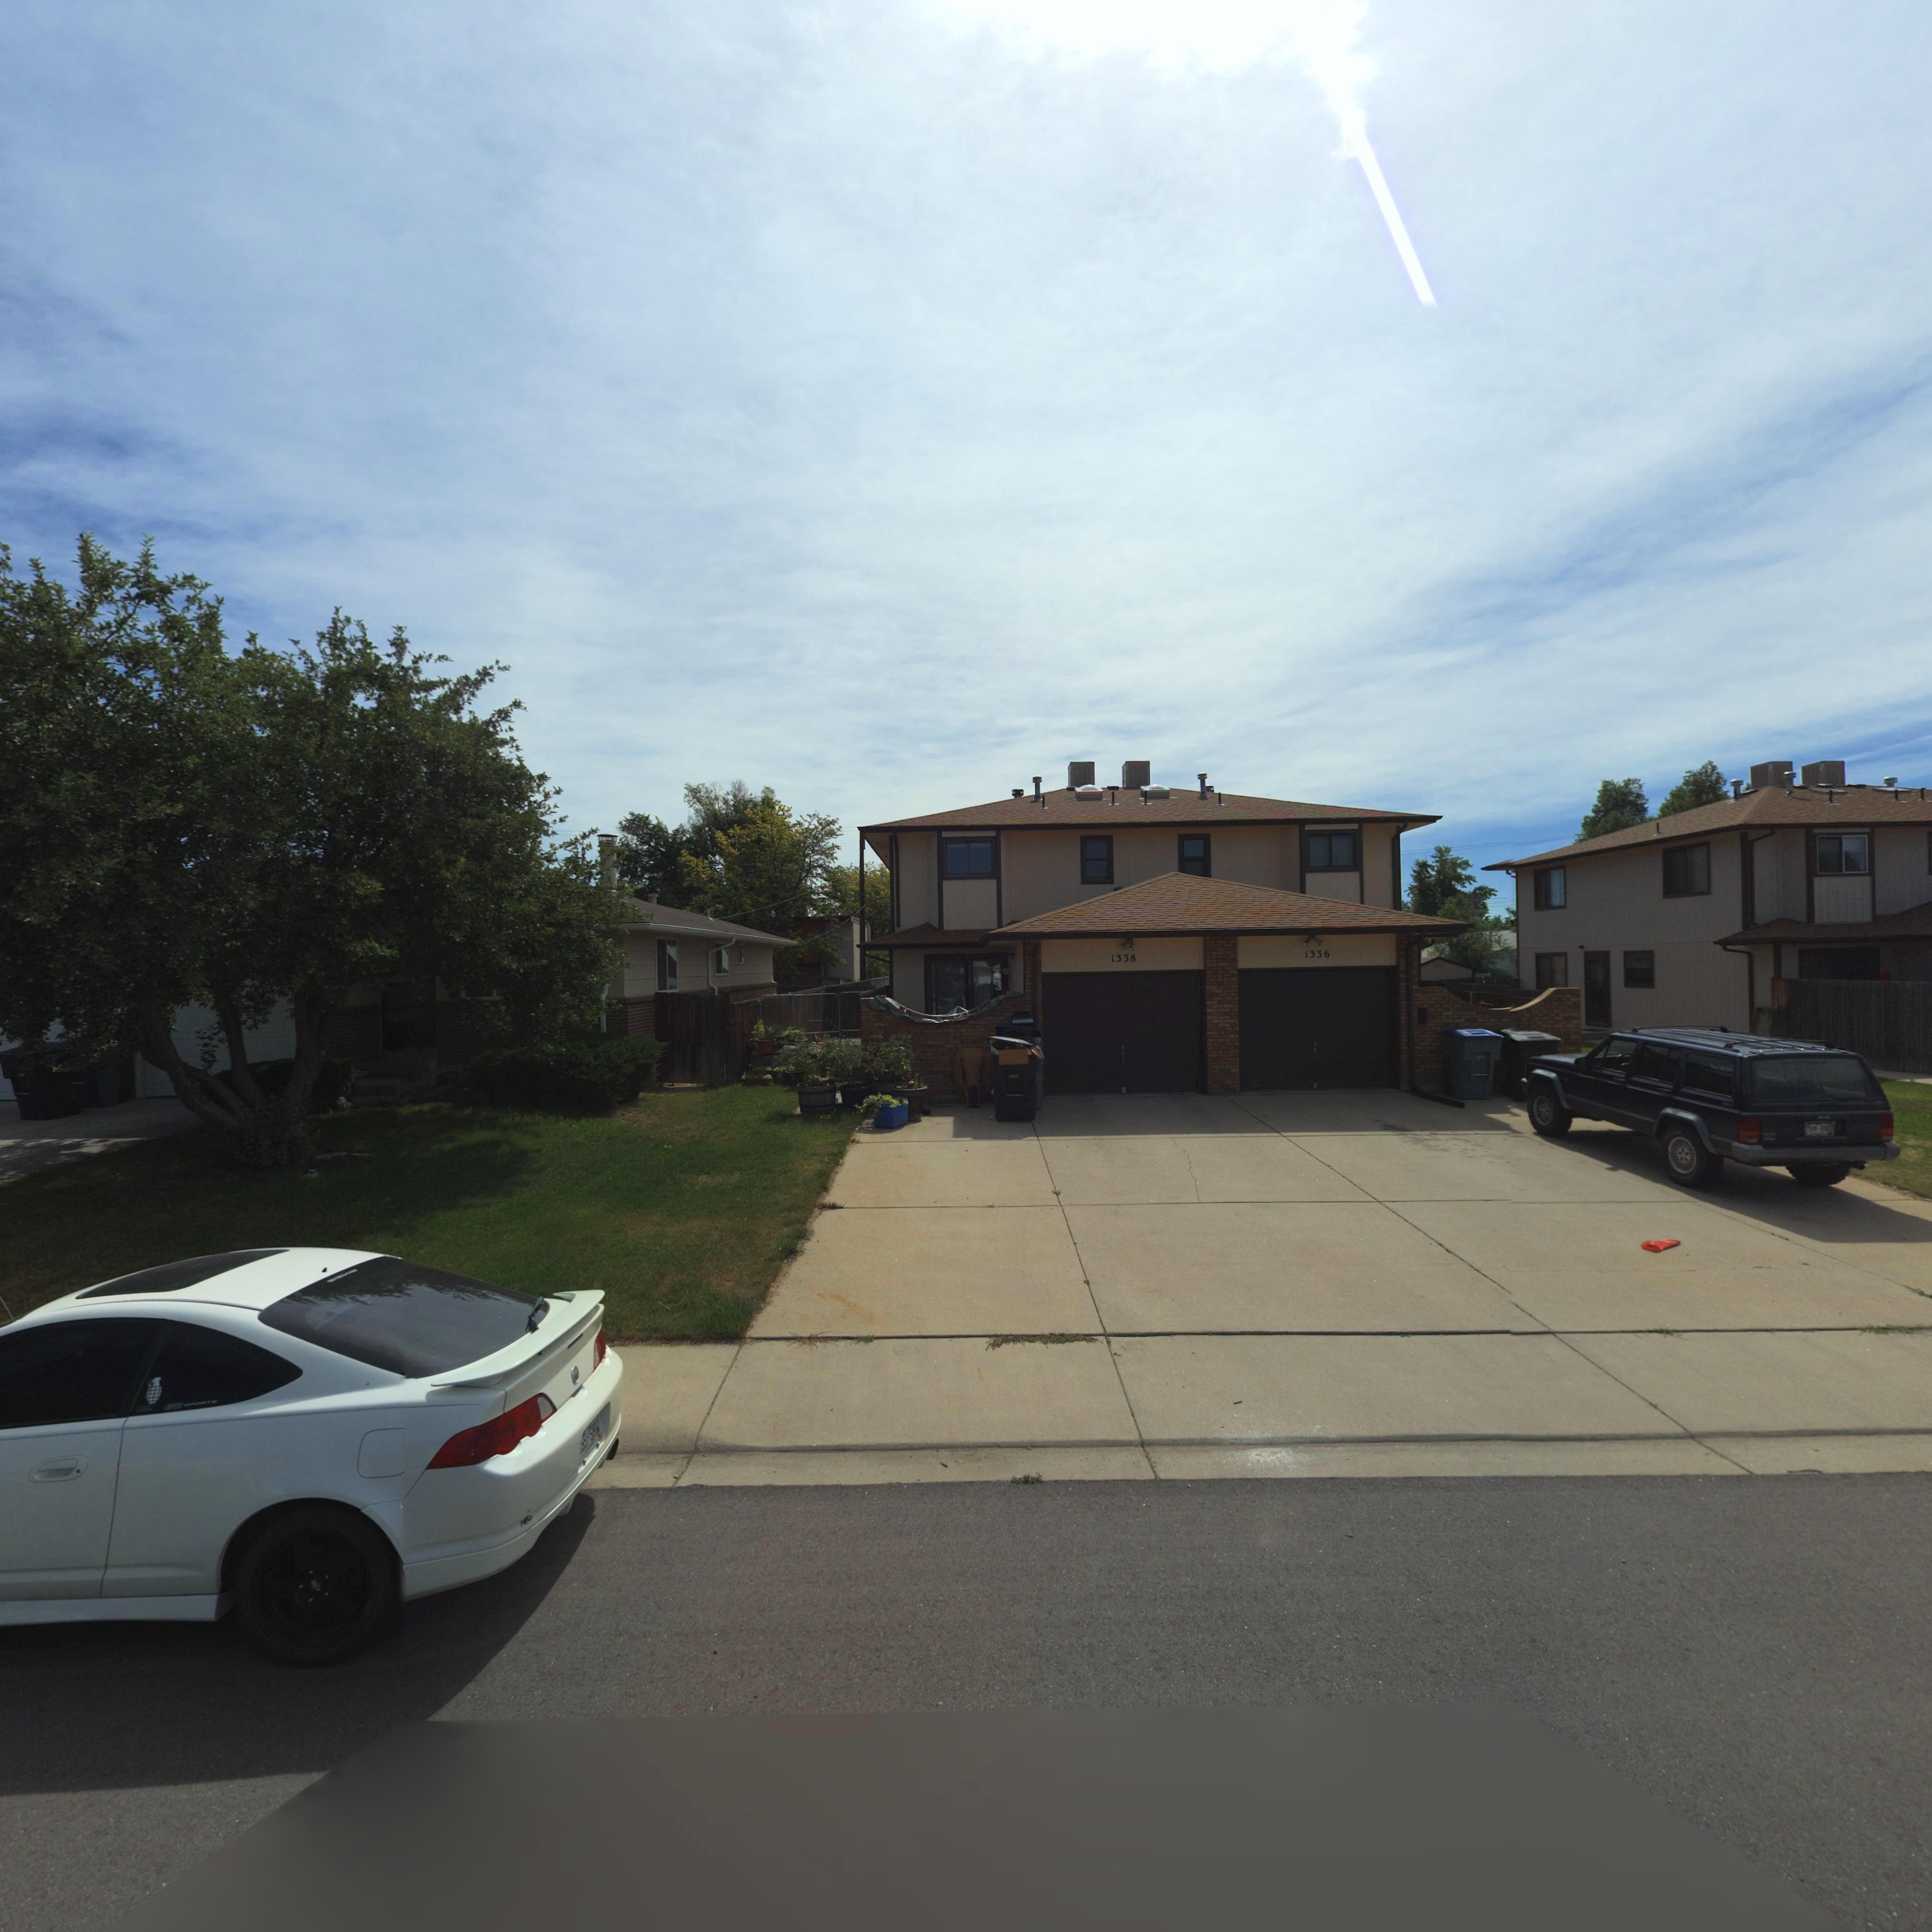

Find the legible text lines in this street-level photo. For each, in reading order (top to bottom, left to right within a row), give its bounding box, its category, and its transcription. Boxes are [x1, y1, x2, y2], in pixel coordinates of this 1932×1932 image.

[1111, 954, 1136, 962] StreetNumber: 1338
[1304, 949, 1330, 958] StreetNumber: 1336